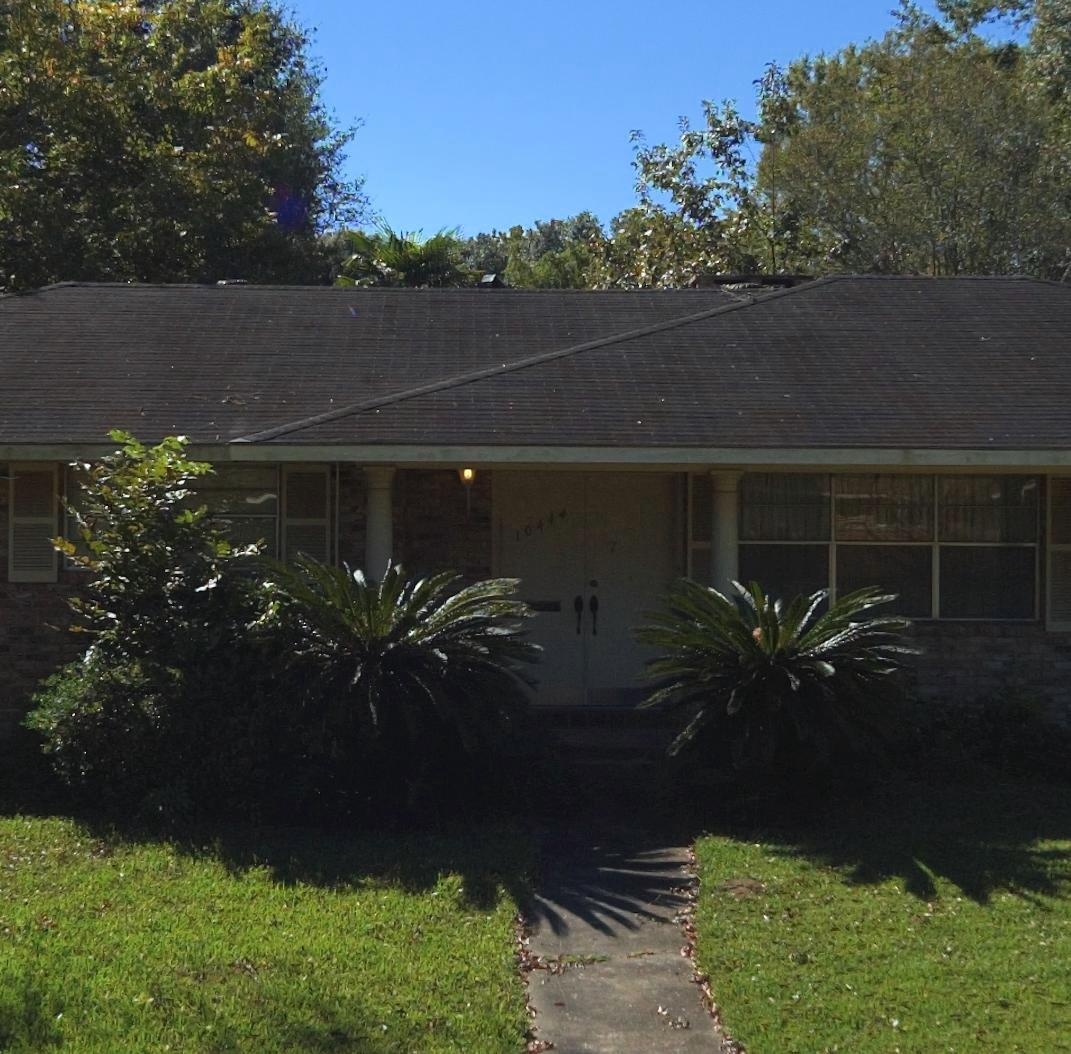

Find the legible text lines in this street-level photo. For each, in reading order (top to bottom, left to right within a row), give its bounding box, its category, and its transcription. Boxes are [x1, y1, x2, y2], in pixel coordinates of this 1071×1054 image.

[514, 506, 569, 546] StreetNumber: 10444